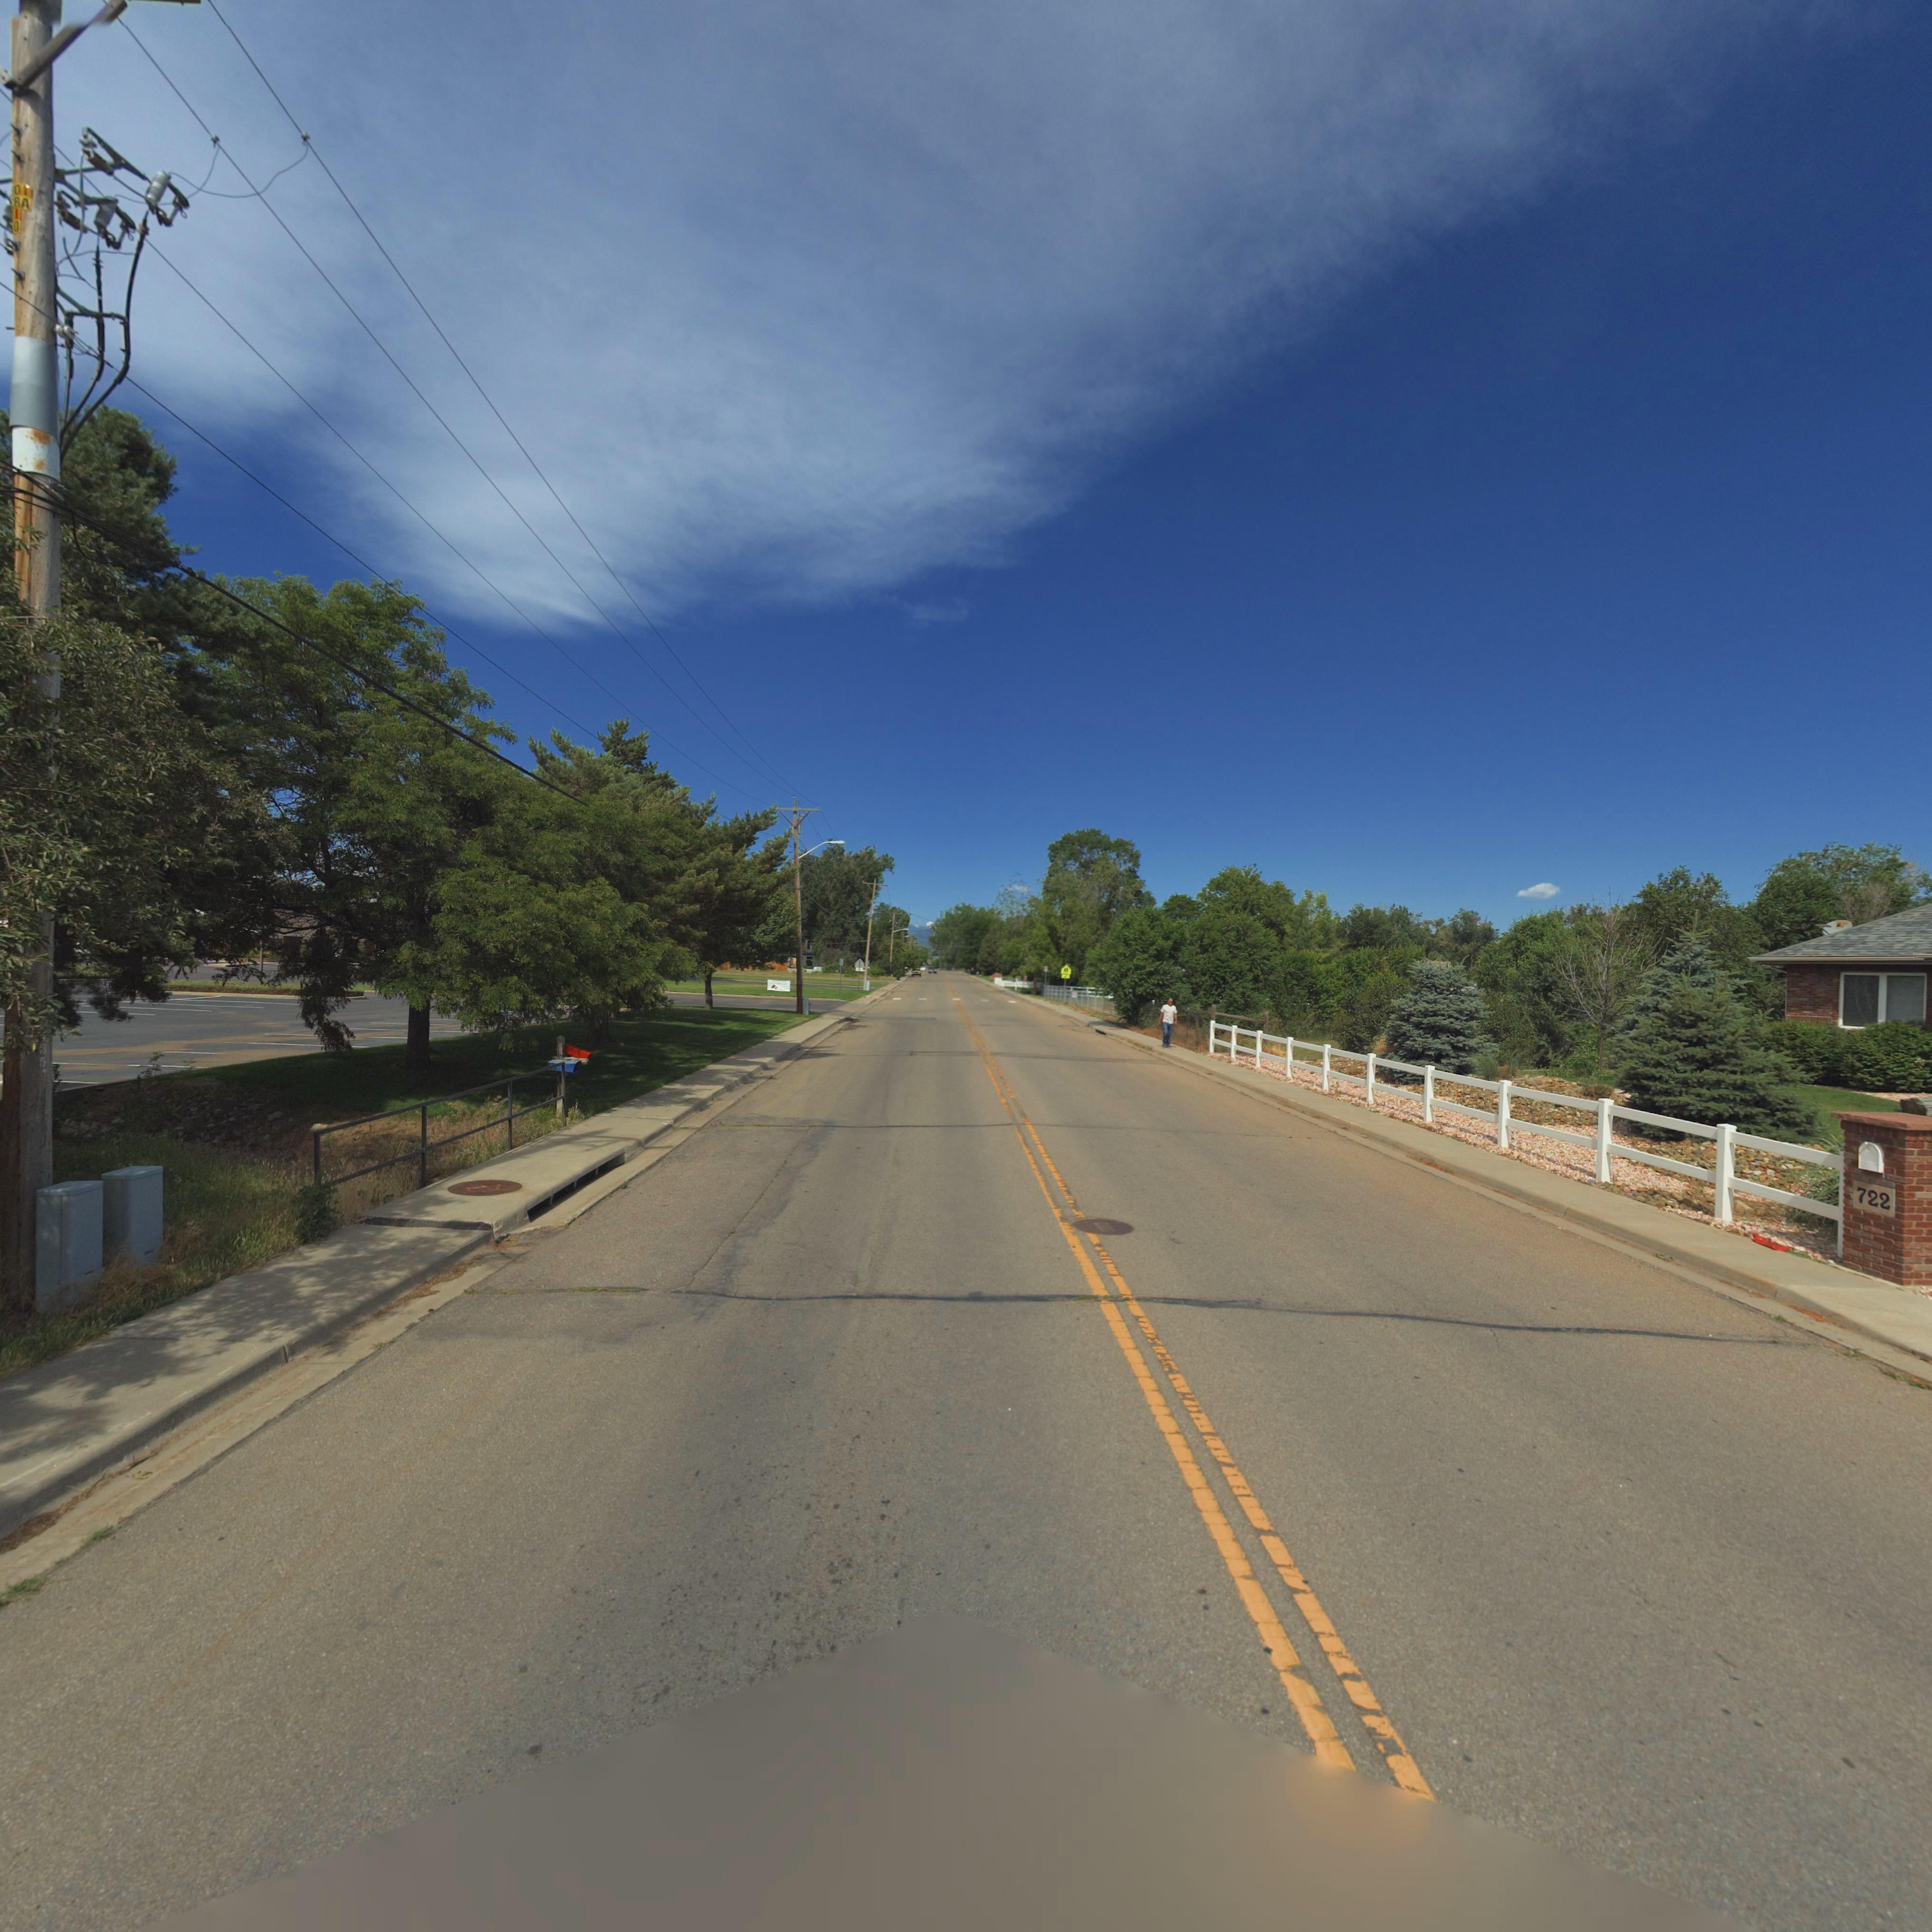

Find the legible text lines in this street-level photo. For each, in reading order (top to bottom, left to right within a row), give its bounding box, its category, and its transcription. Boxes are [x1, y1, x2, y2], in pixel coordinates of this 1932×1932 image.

[1856, 1186, 1891, 1211] StreetNumber: 722